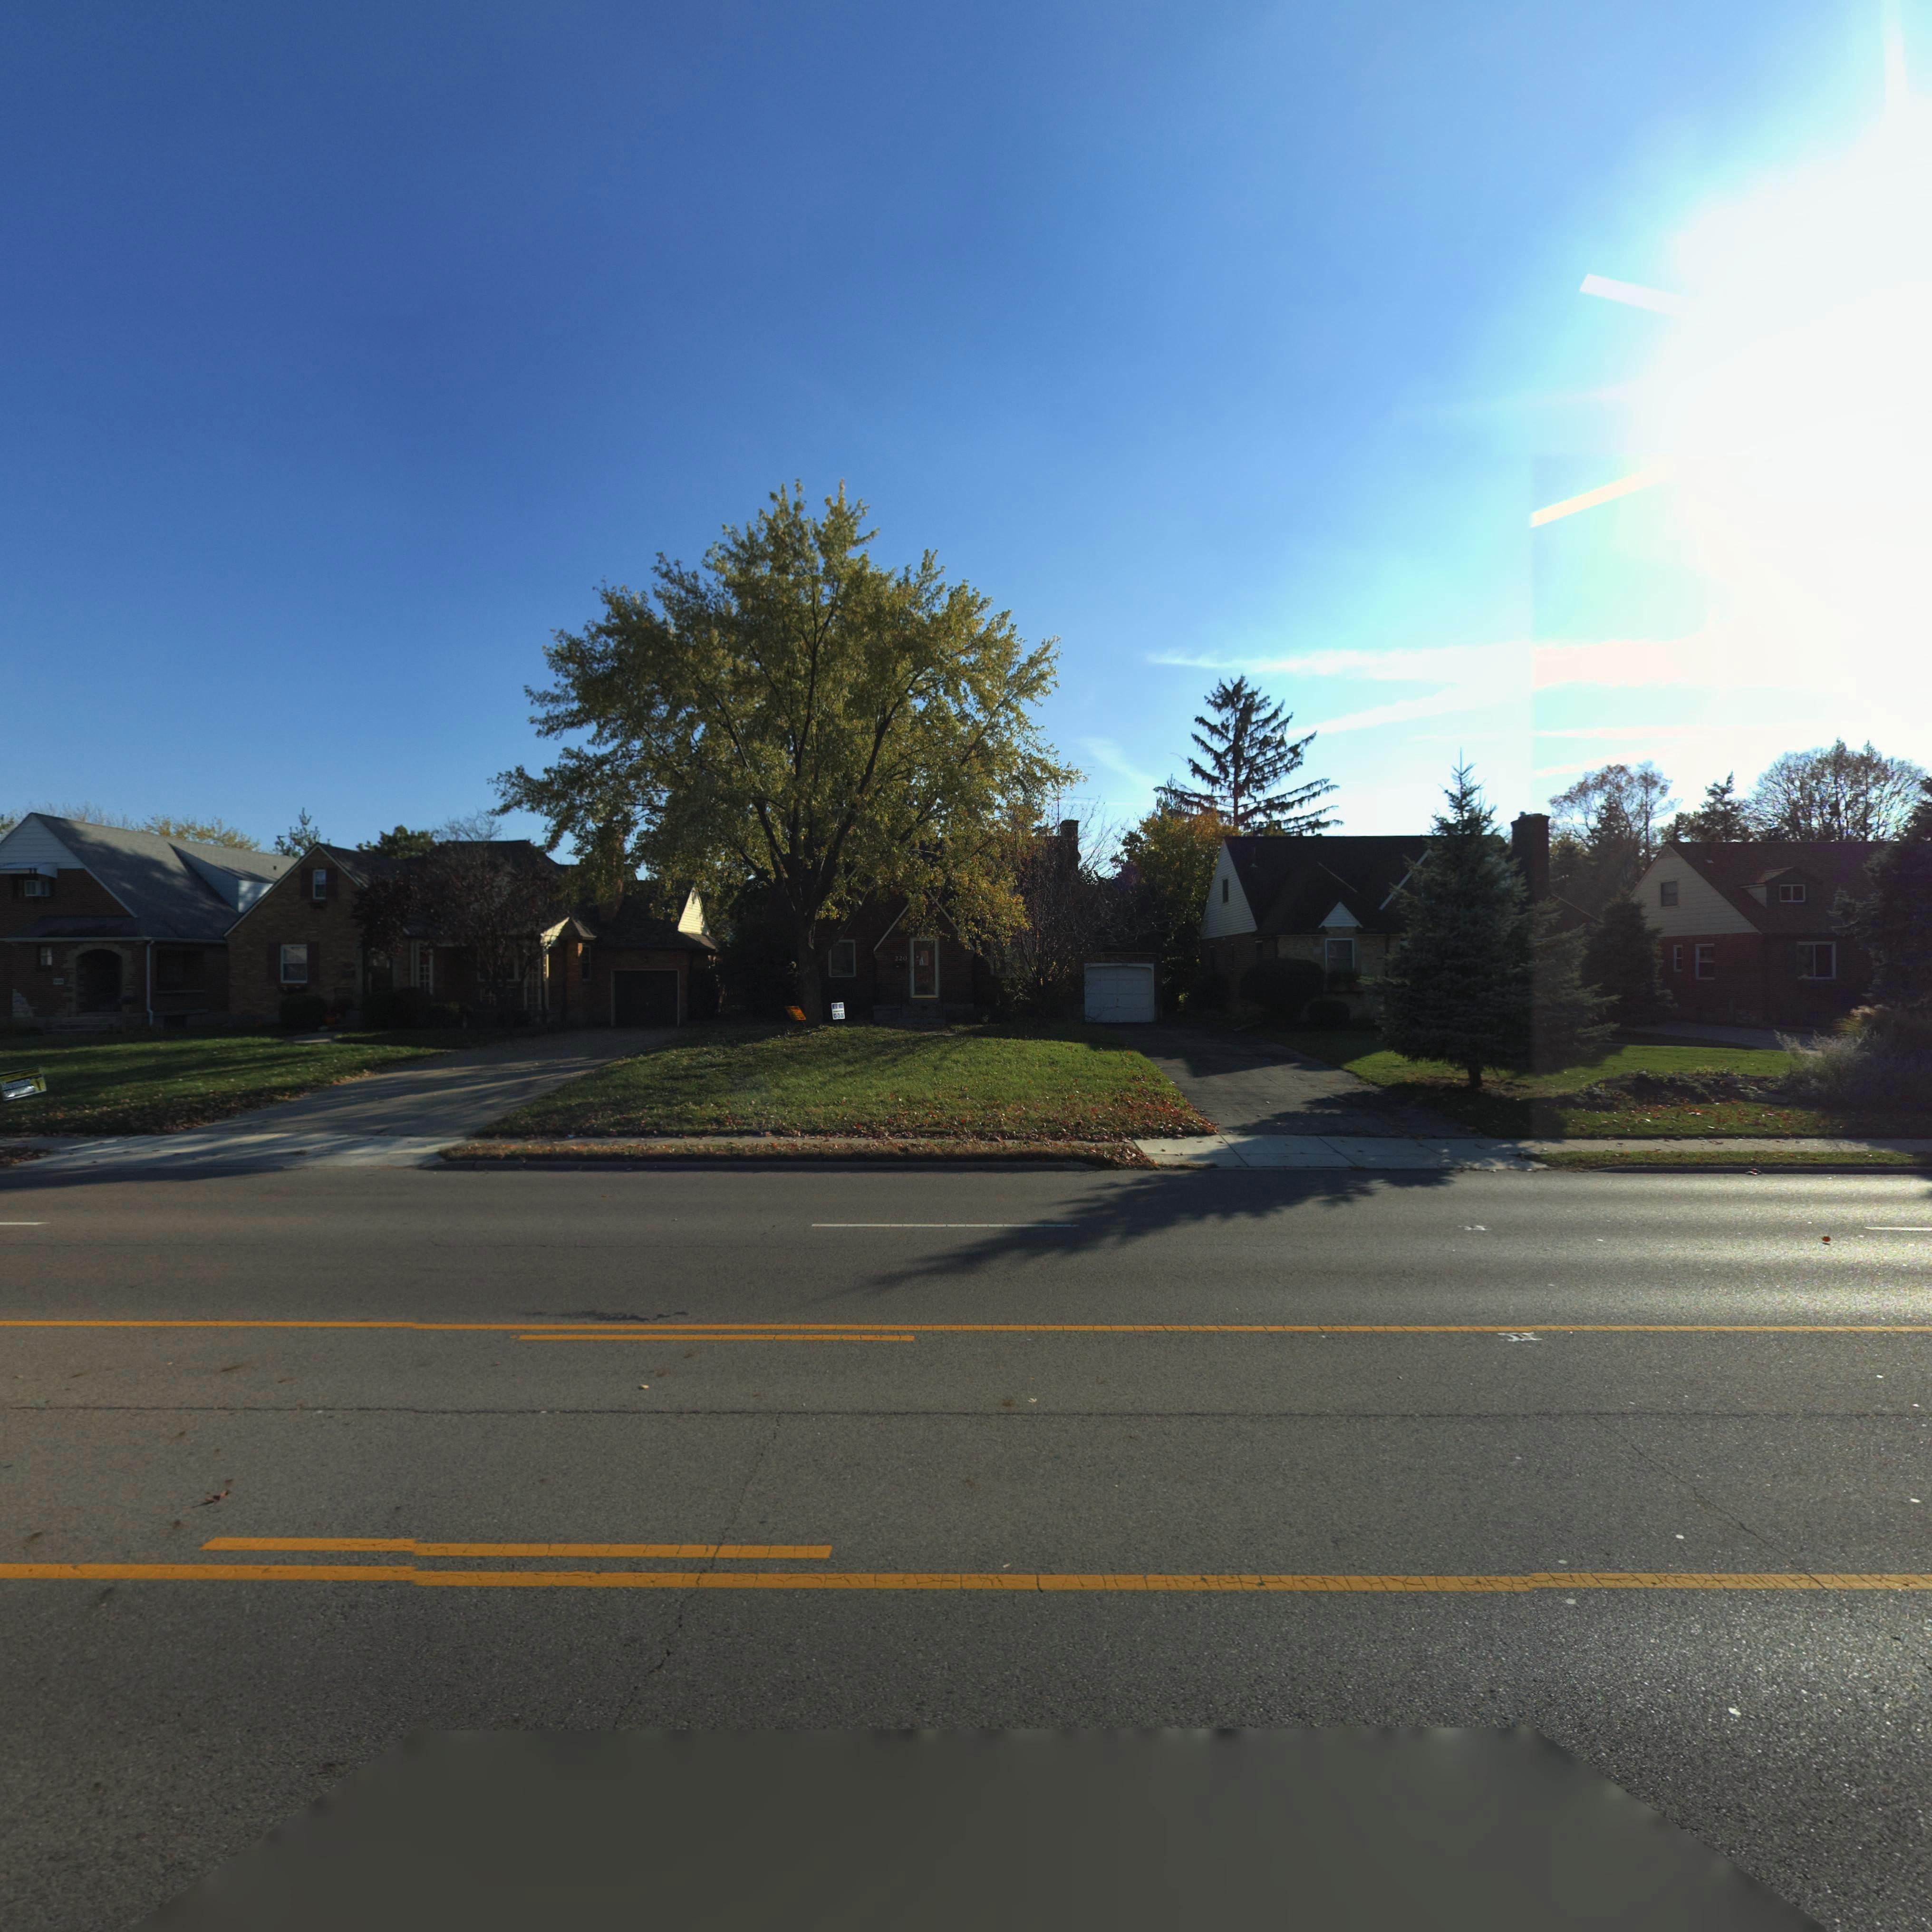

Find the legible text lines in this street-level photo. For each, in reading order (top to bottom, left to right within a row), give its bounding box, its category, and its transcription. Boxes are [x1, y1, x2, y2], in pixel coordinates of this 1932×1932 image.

[894, 955, 908, 962] StreetNumber: 220
[29, 1076, 47, 1092] None: \